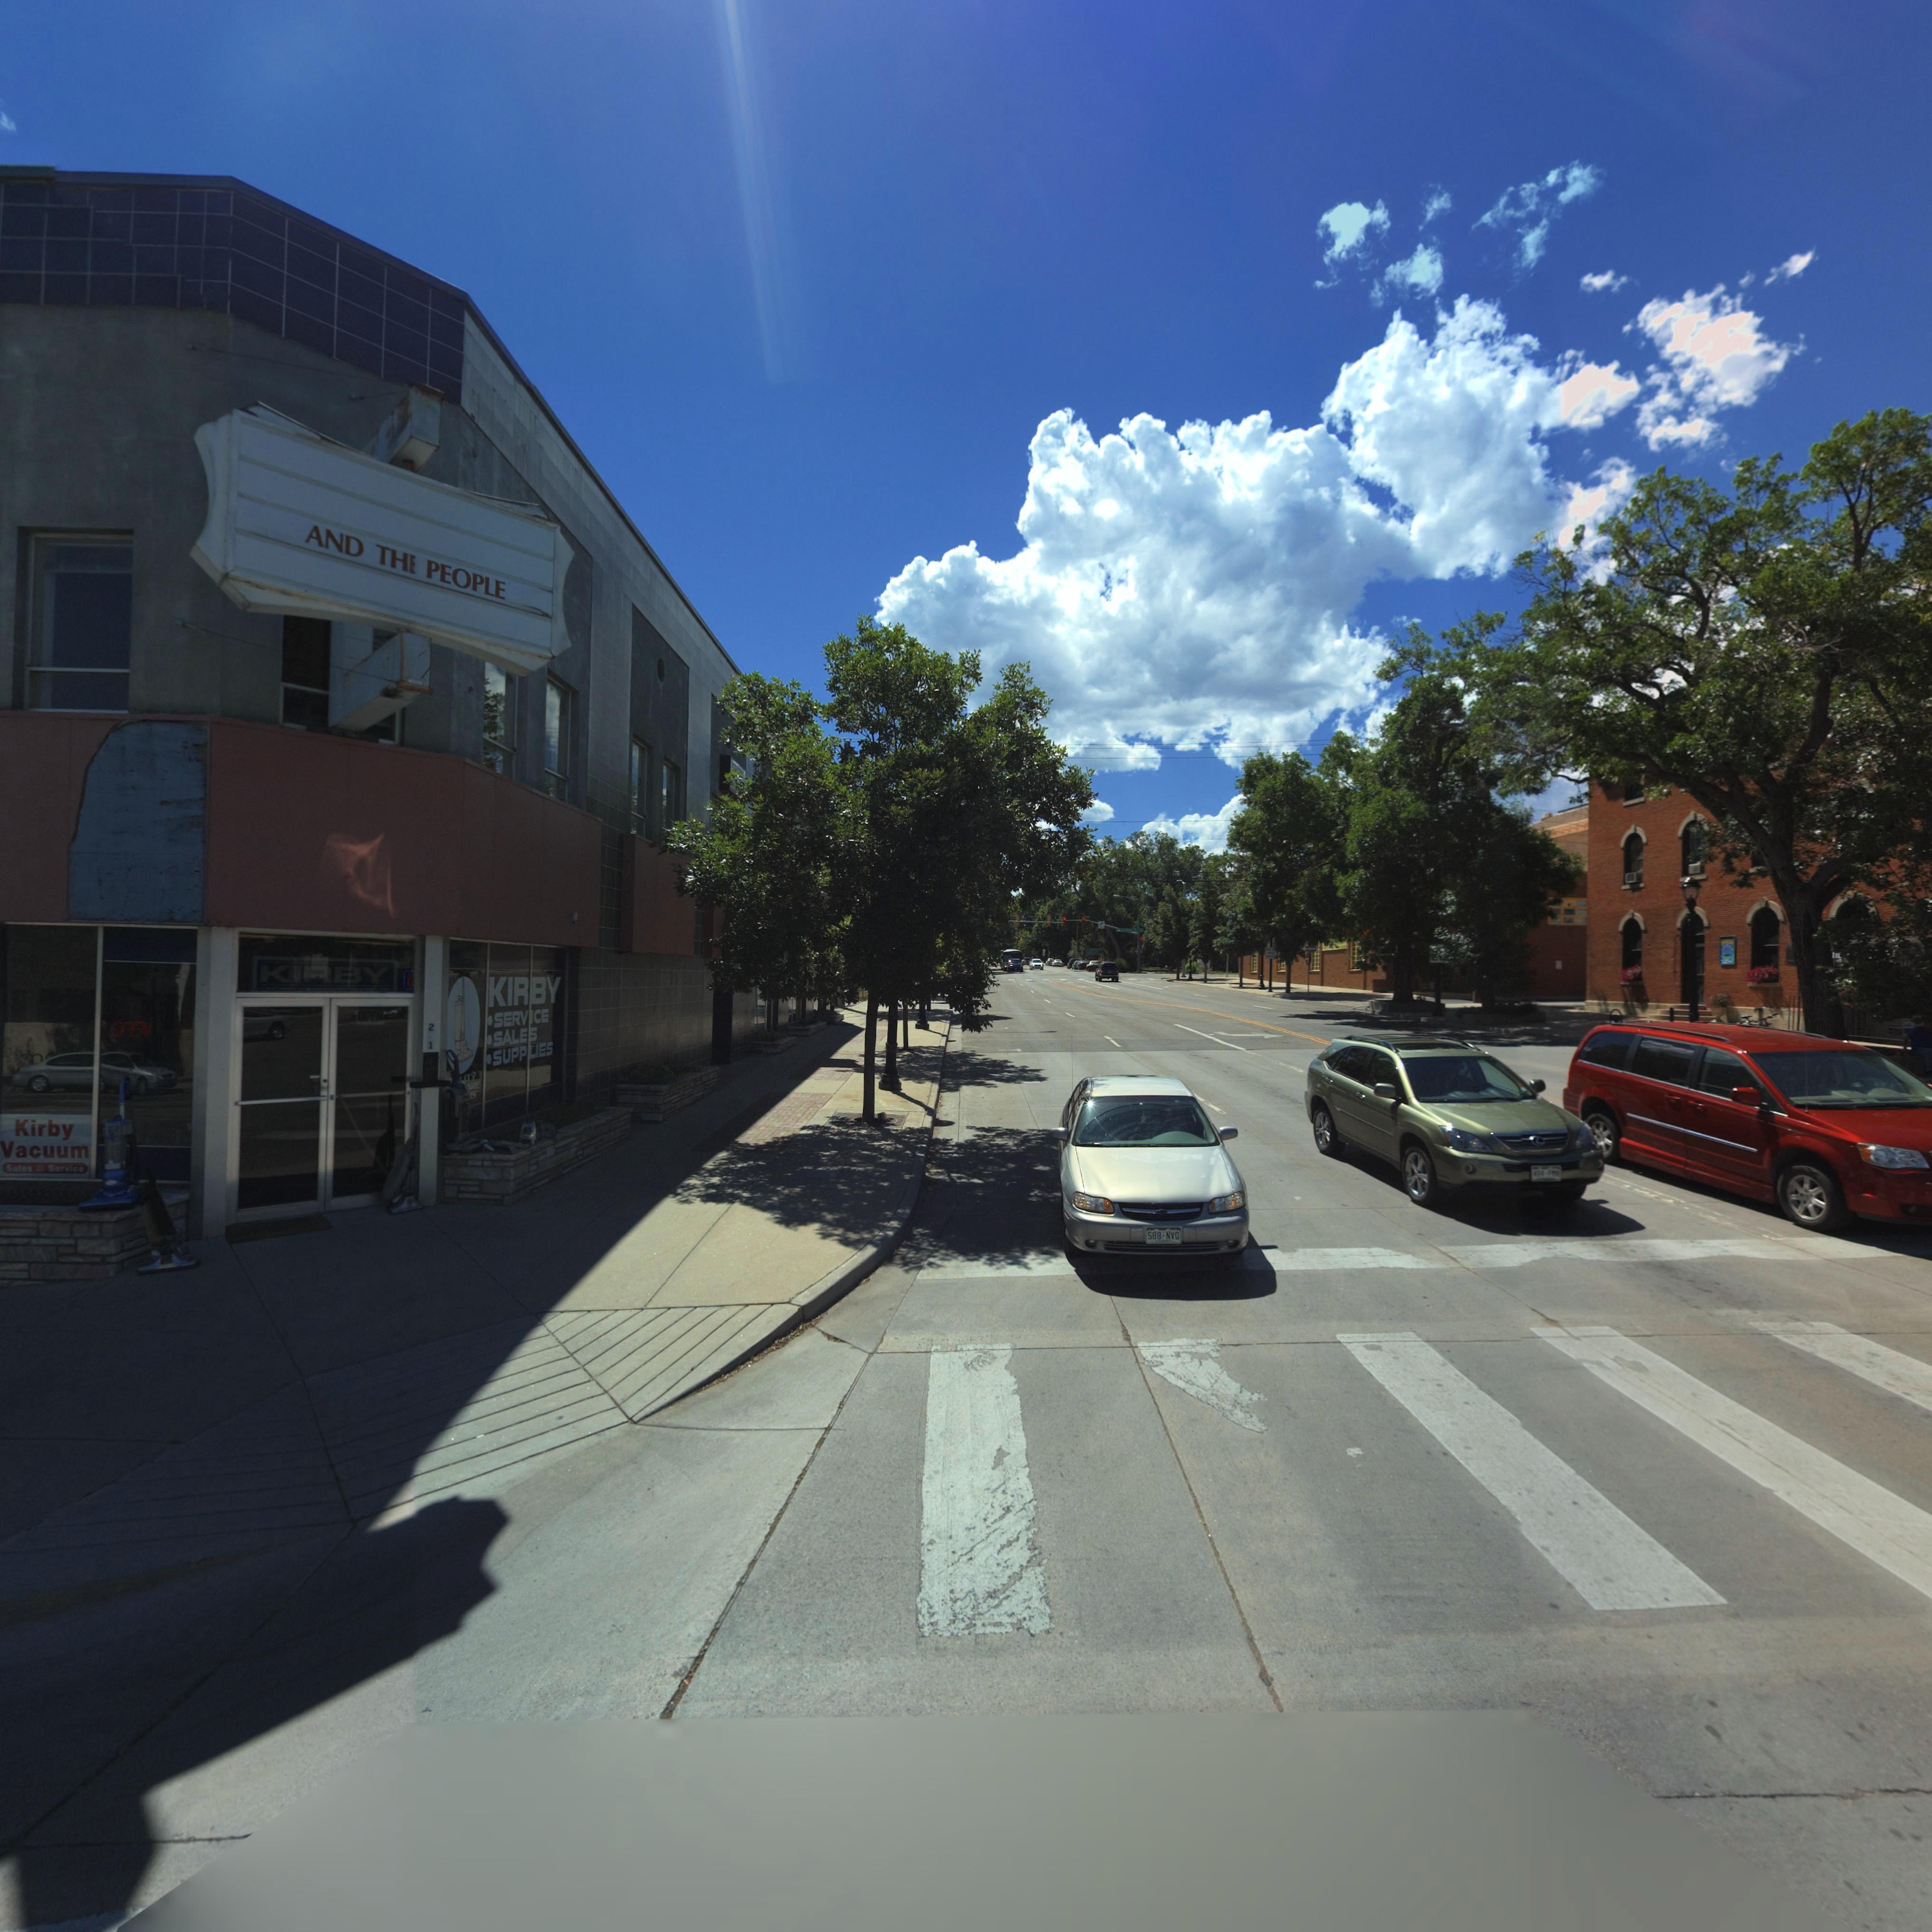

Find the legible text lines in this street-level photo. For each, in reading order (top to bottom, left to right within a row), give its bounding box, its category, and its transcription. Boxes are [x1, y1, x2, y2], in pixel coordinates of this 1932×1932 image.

[261, 962, 389, 985] BusinessName: KIRBY
[487, 976, 562, 1007] BusinessName: KIRBY
[428, 1023, 434, 1049] StreetNumber: 2*1
[14, 1118, 74, 1141] BusinessName: Kirby